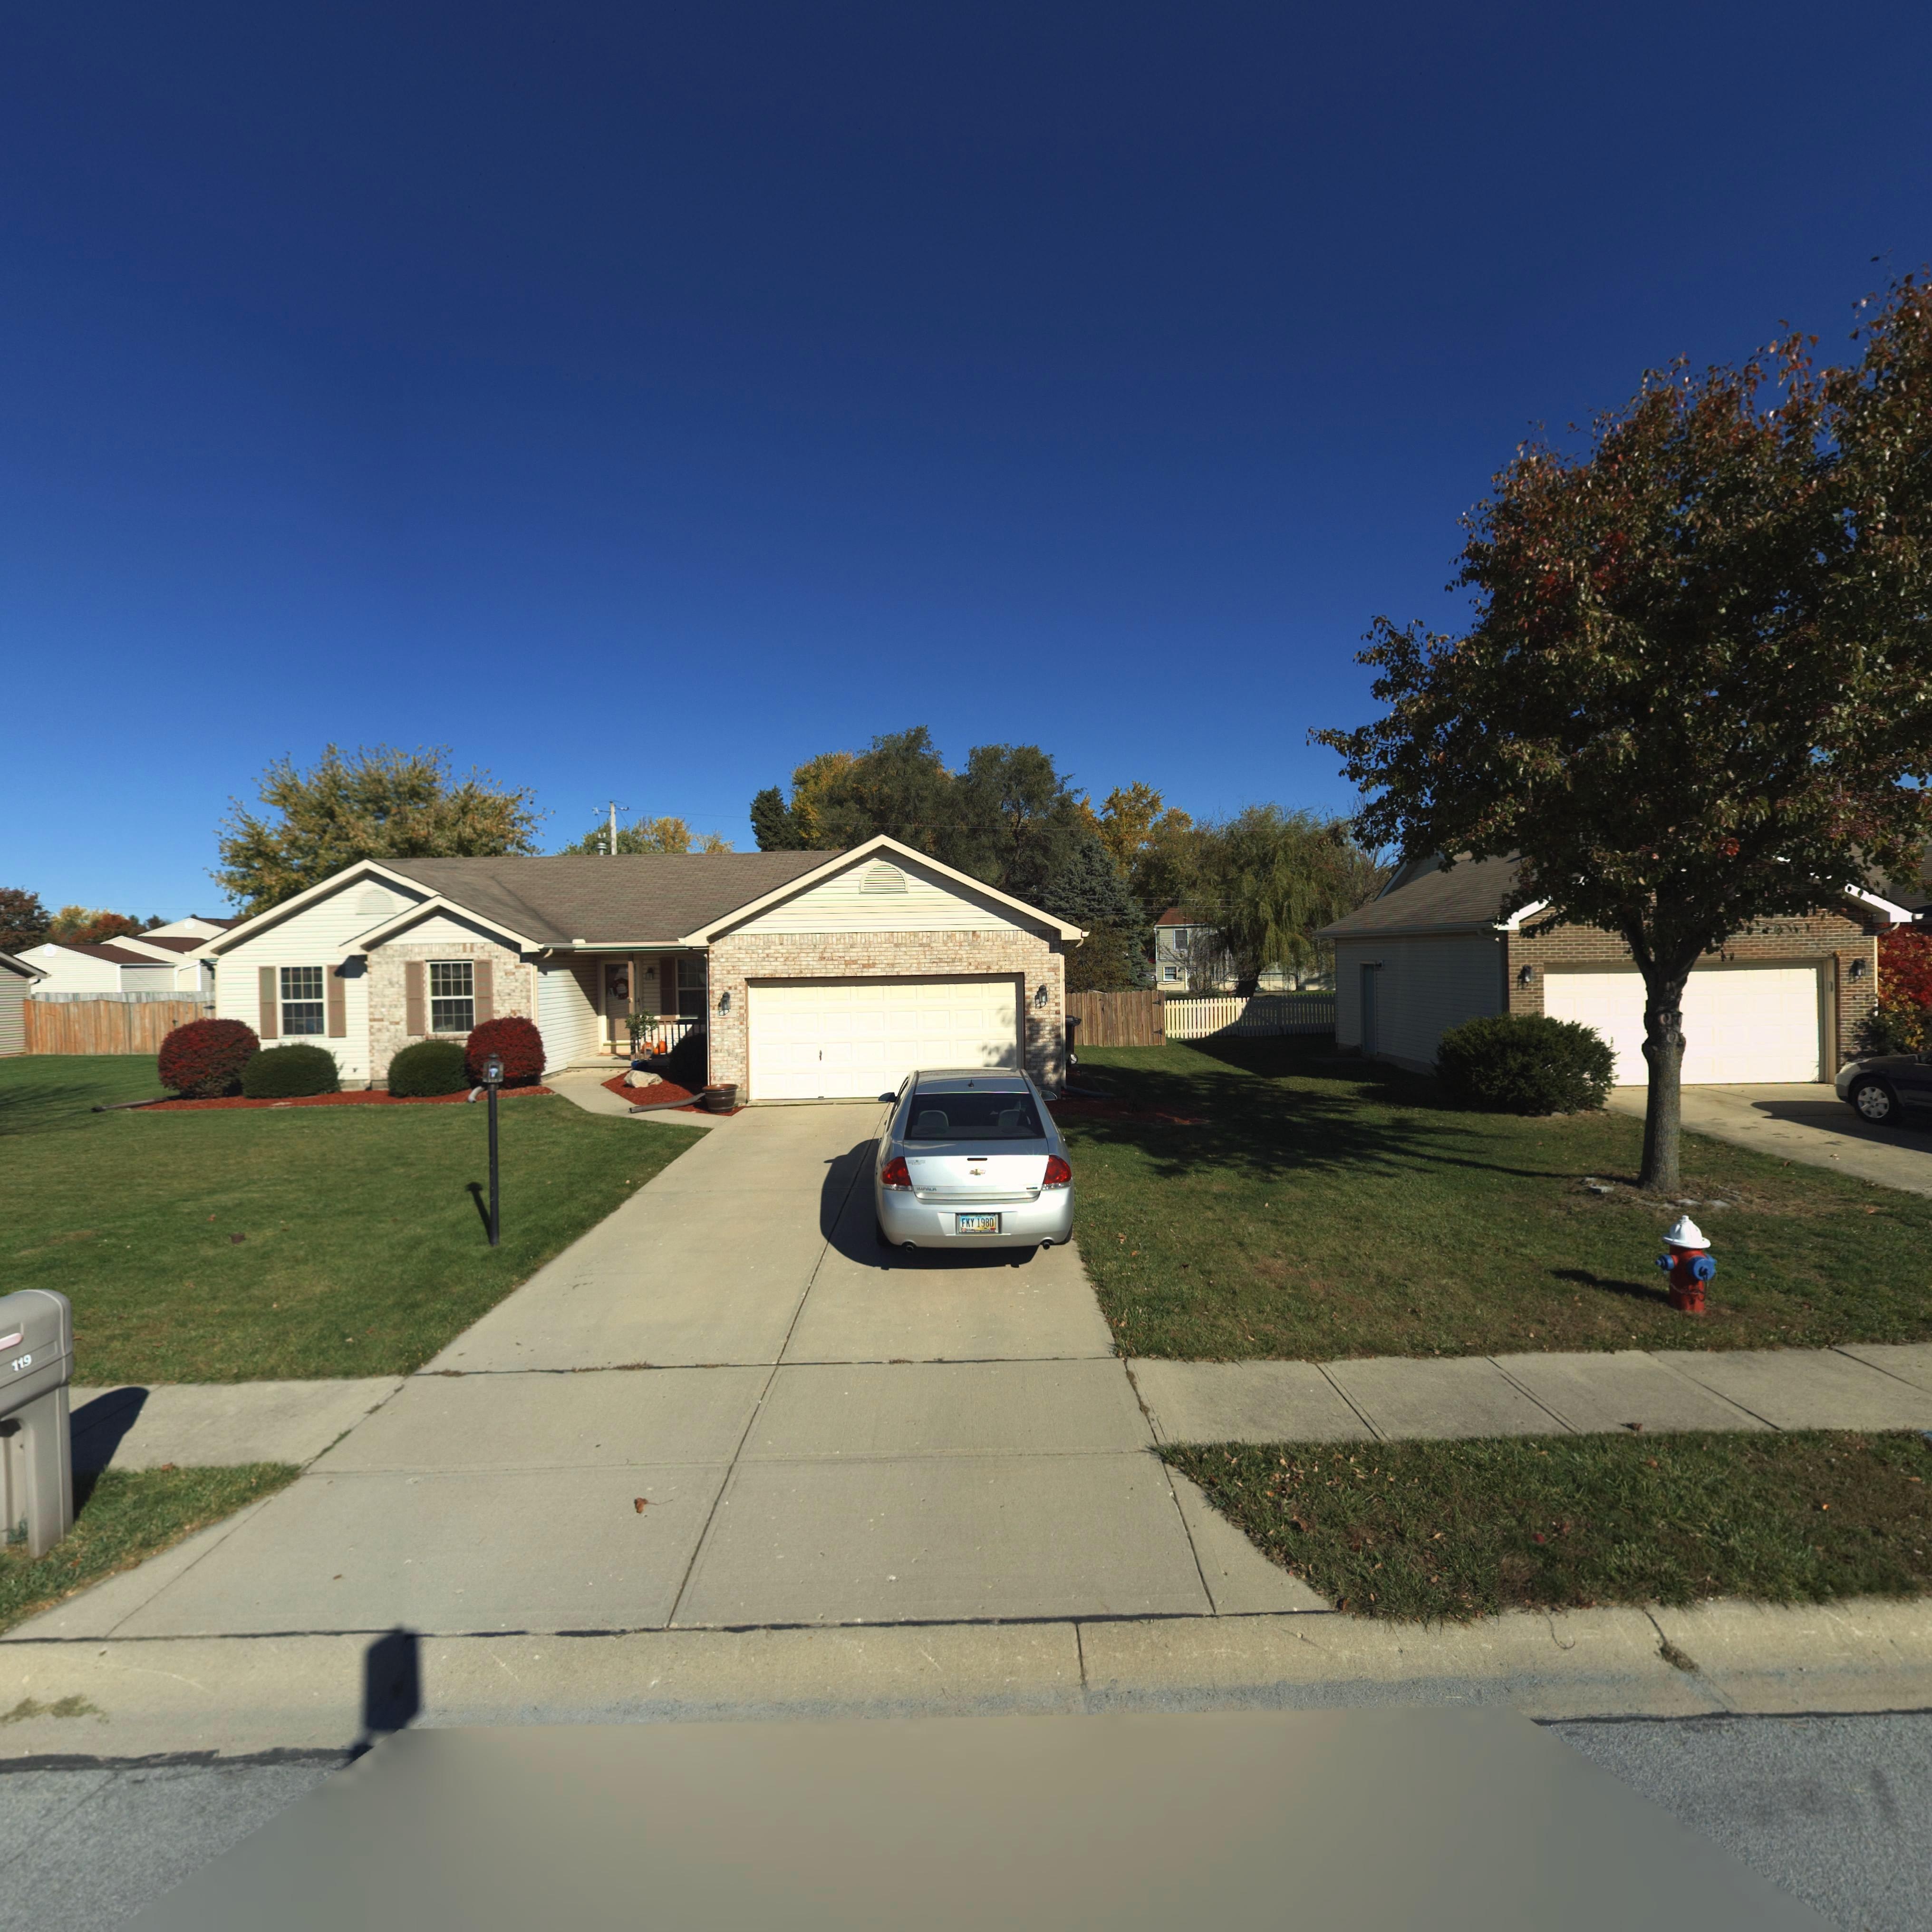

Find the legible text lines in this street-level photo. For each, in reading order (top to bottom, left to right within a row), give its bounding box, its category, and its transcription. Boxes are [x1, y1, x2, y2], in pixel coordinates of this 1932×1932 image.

[960, 1216, 995, 1229] None: FKY 1980
[10, 1353, 32, 1372] StreetNumber: 119